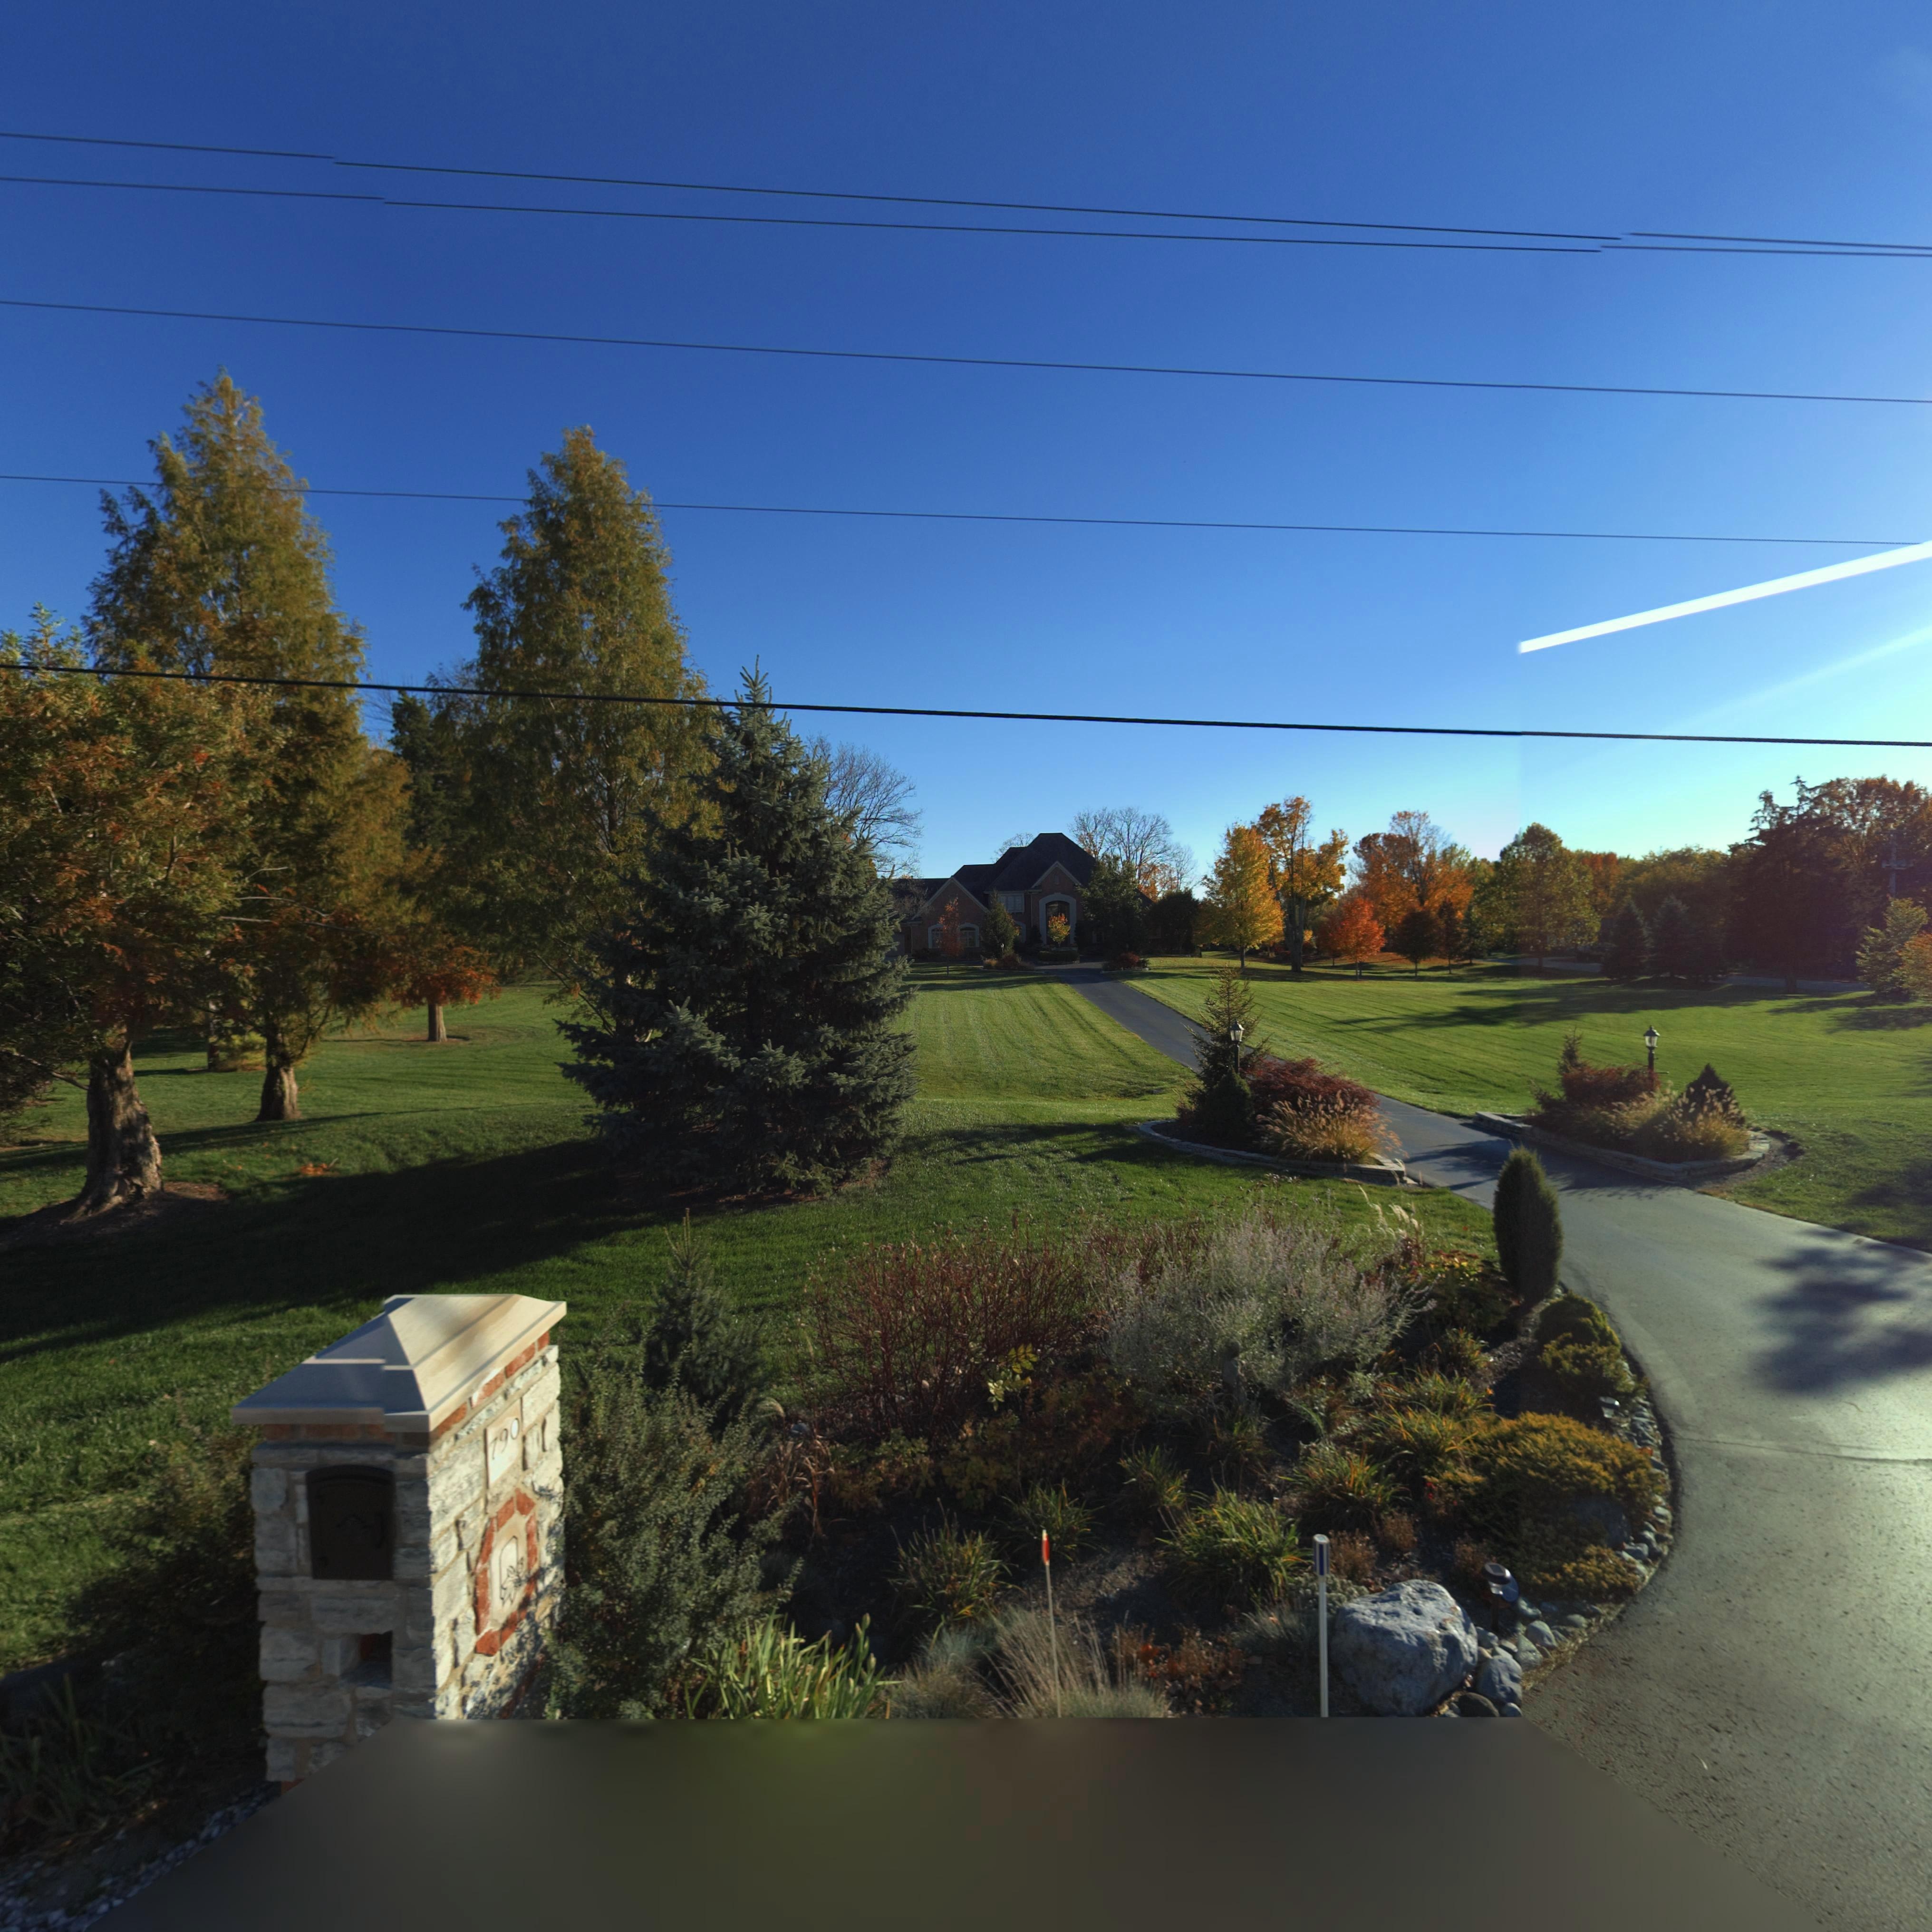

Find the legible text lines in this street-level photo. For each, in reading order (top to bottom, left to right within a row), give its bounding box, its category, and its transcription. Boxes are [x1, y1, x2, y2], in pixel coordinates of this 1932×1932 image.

[487, 1415, 522, 1462] StreetNumber: 790